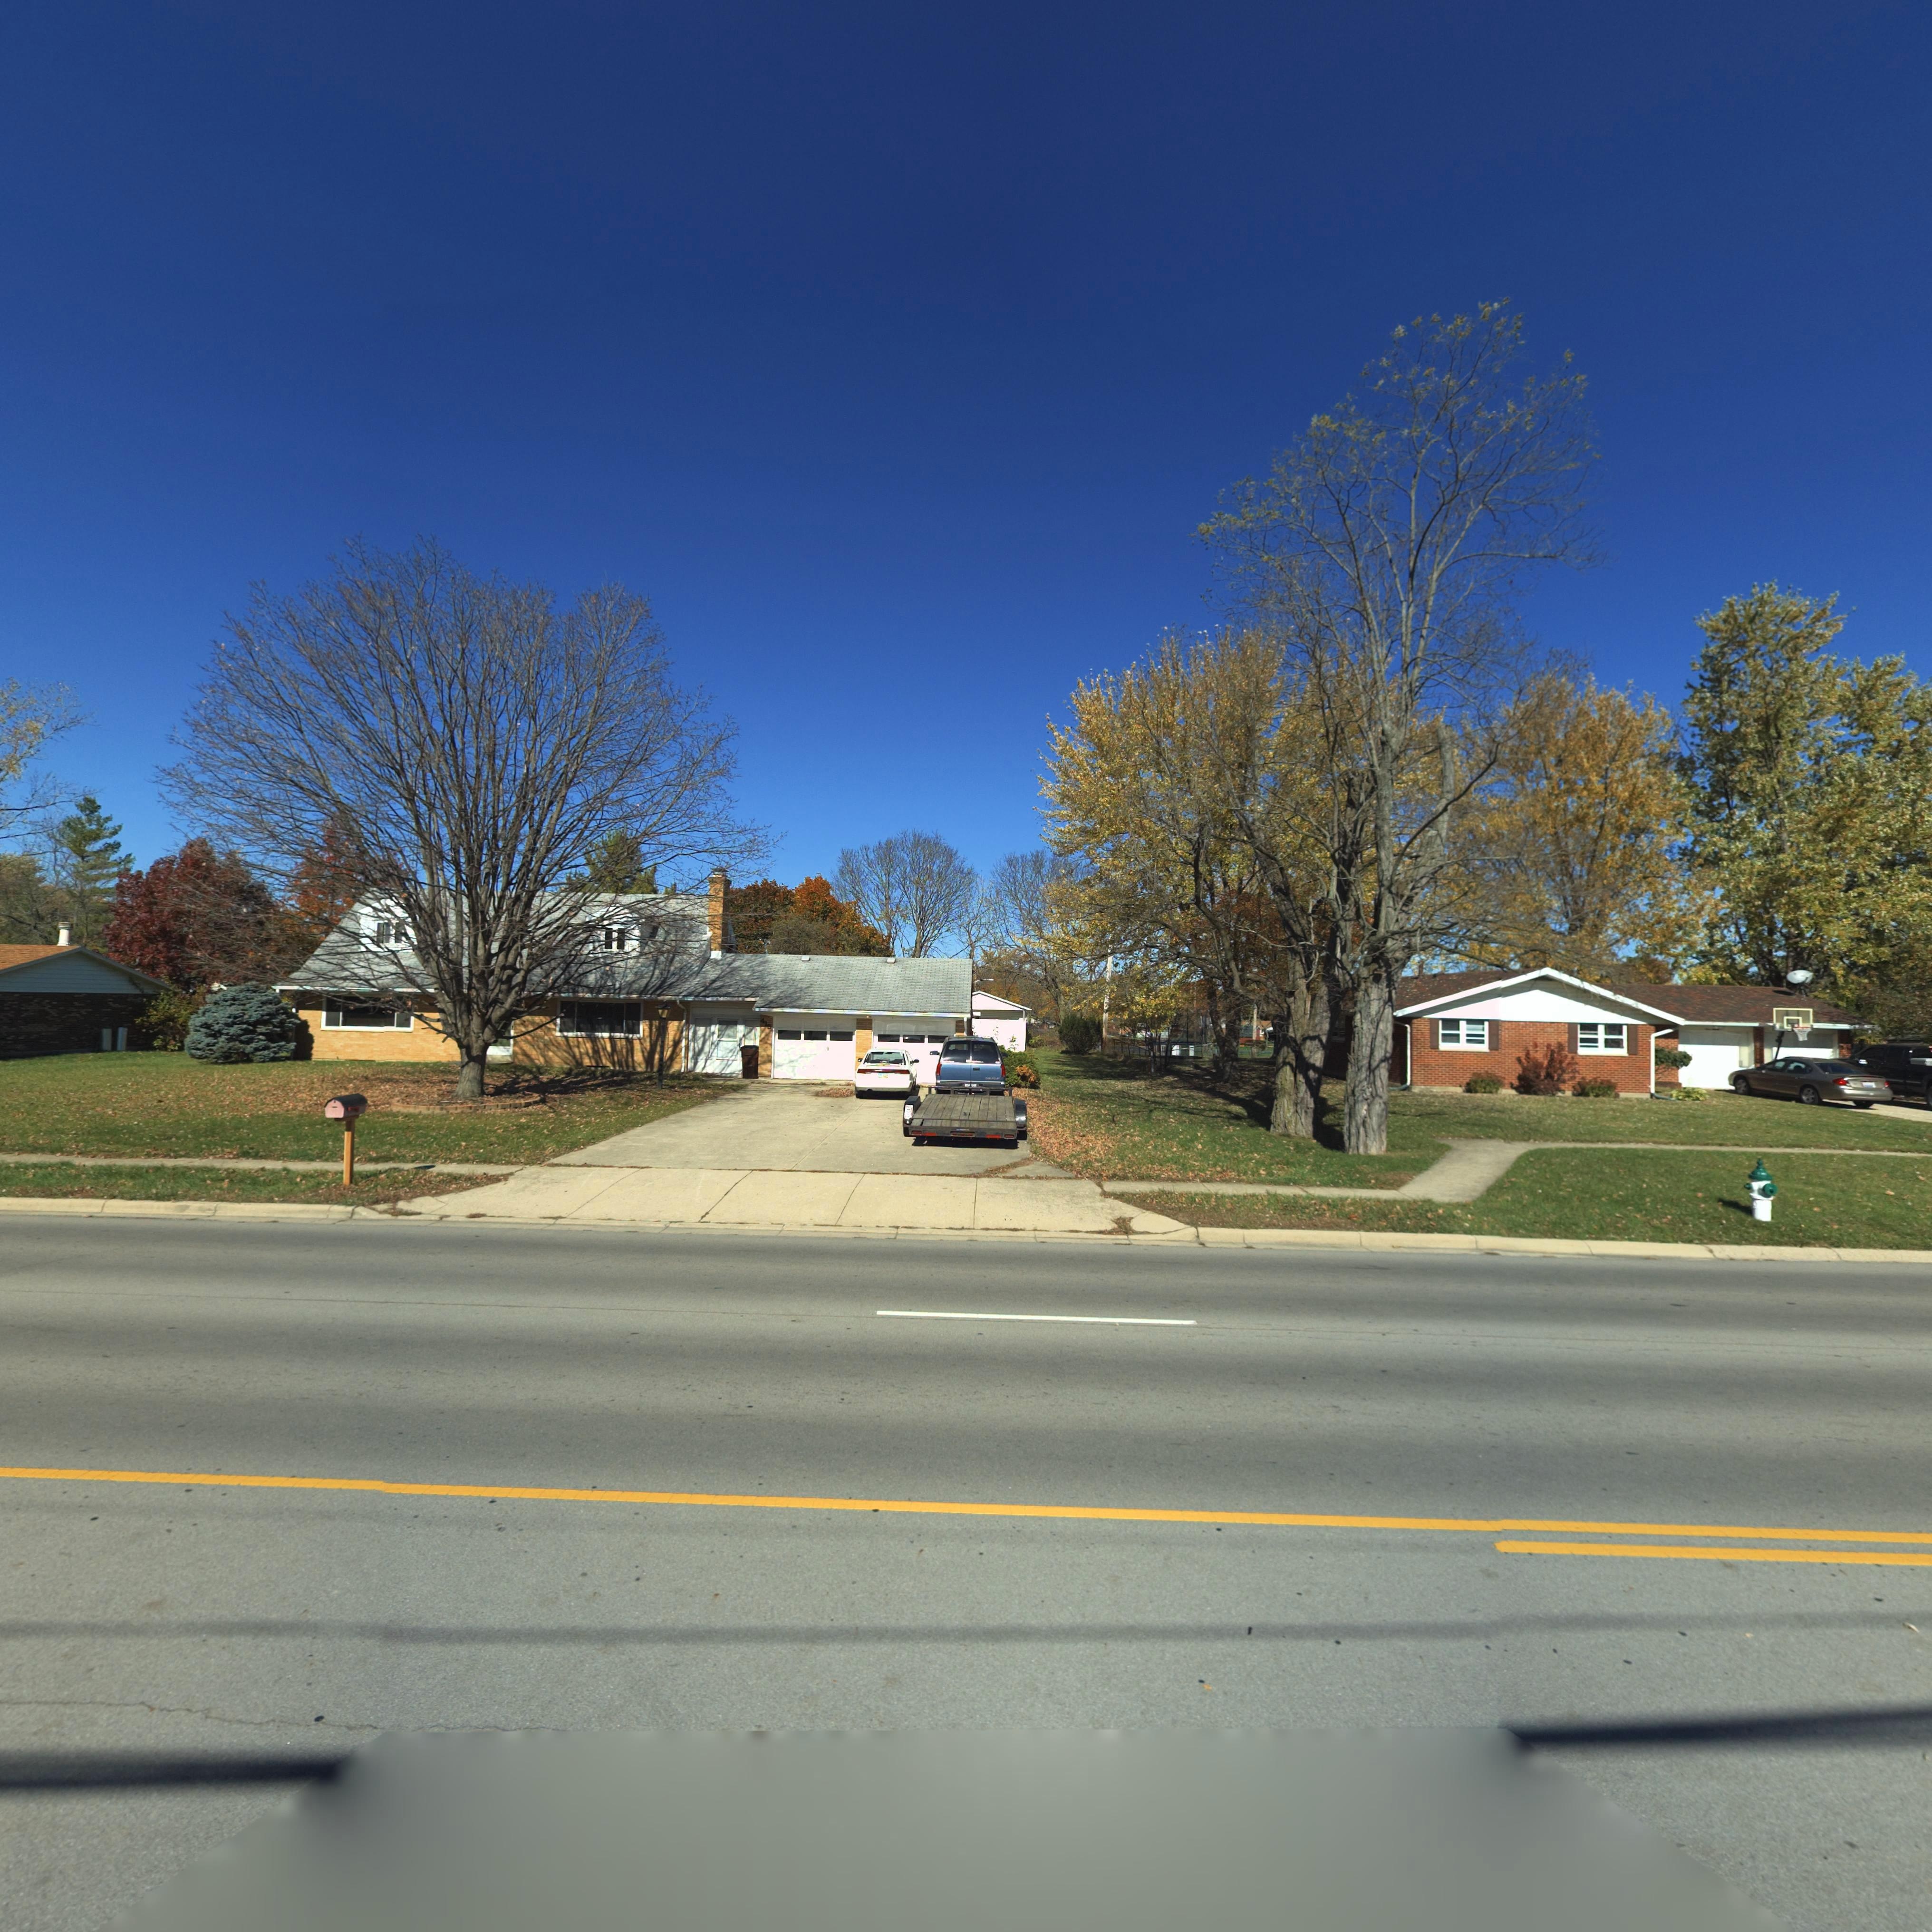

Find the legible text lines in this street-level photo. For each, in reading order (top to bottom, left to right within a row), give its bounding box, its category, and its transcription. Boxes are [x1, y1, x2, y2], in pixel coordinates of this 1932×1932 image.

[759, 1017, 773, 1030] StreetNumber: 415